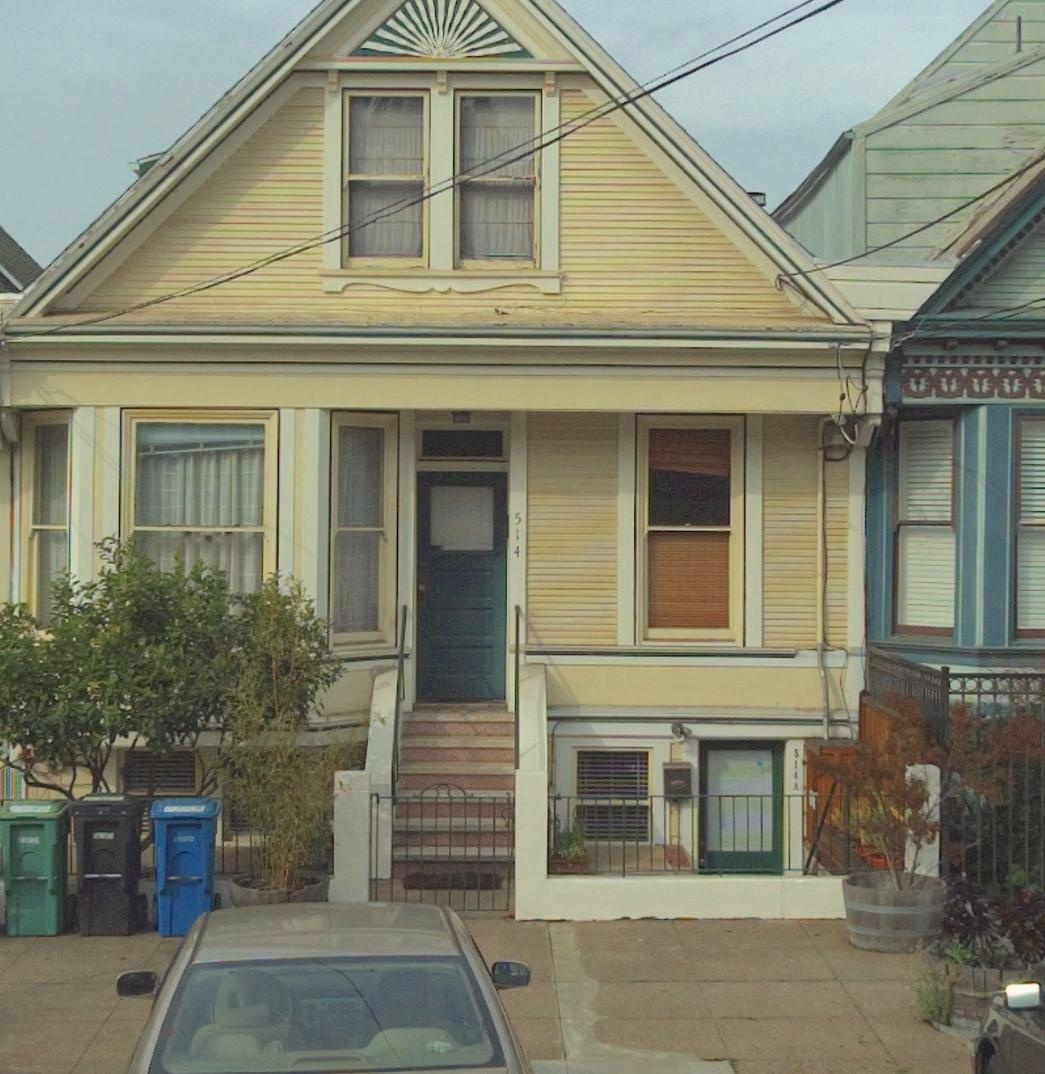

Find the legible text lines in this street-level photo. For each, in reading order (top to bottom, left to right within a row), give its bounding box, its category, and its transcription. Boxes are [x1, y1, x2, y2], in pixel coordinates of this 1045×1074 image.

[513, 510, 523, 559] StreetNumber: 514
[791, 747, 800, 792] StreetNumber: 514A